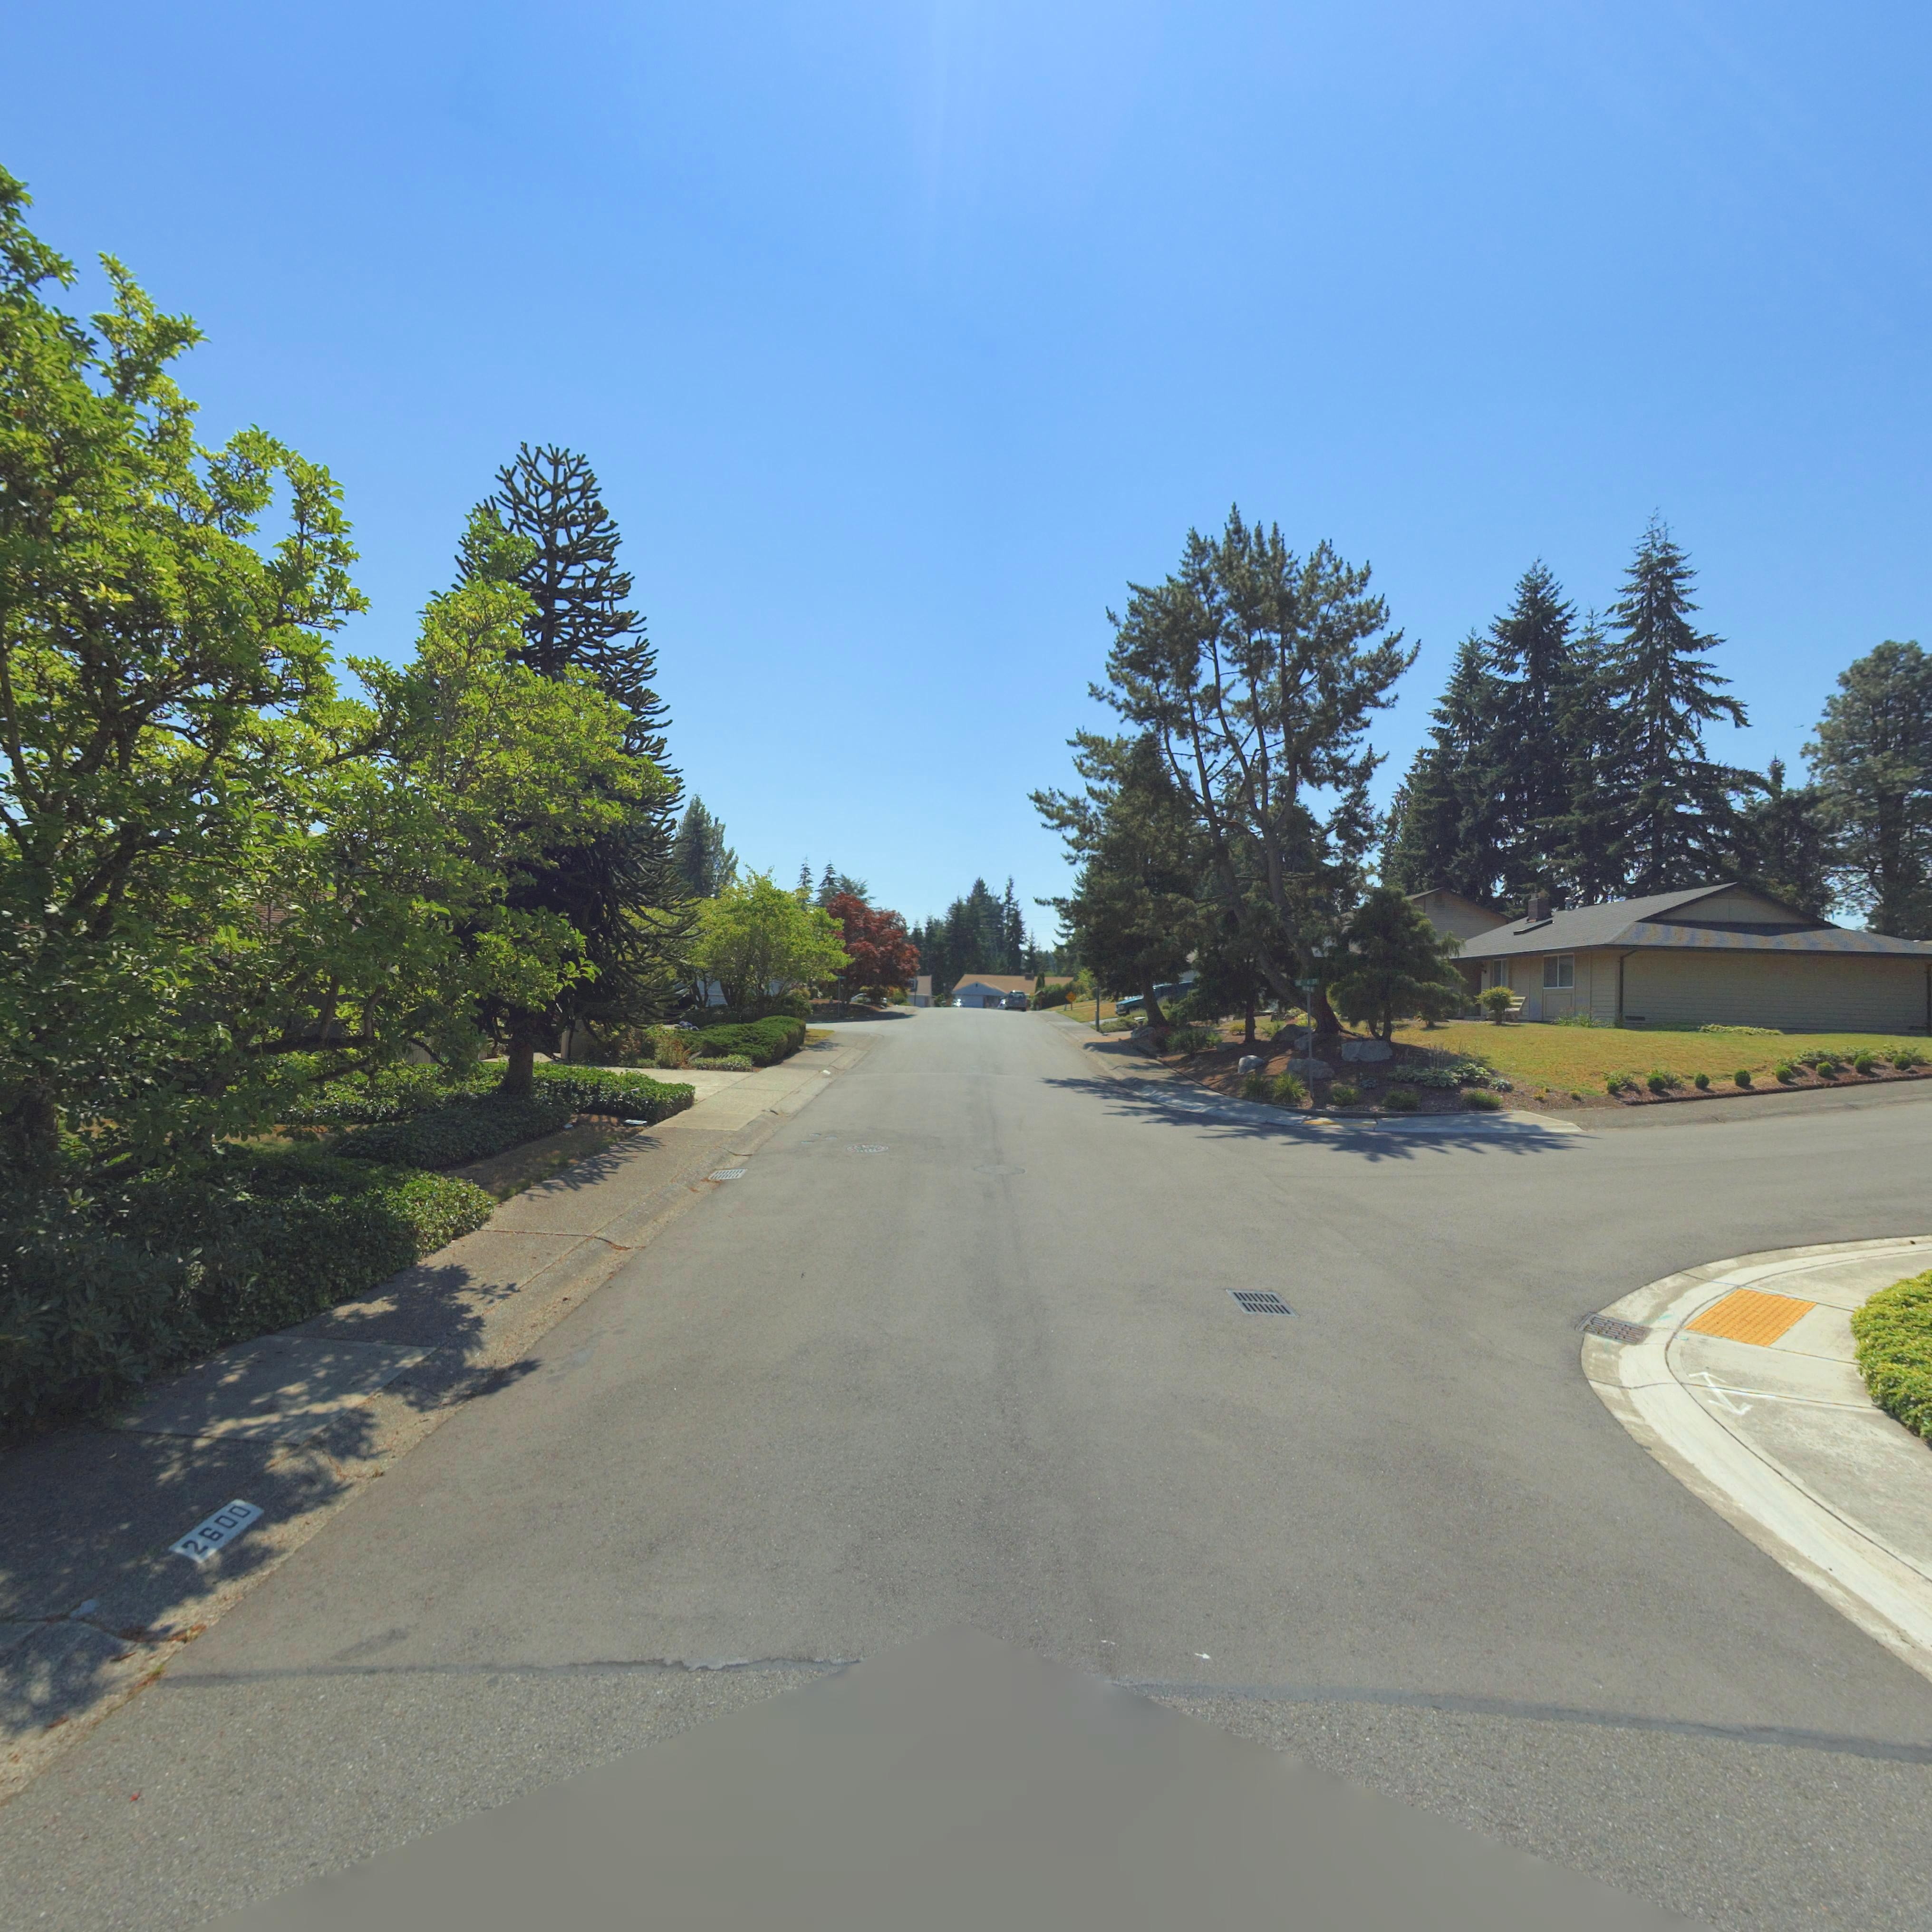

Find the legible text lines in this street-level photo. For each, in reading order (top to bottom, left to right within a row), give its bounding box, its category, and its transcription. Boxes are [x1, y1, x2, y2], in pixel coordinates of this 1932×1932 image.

[180, 1504, 252, 1555] StreetNumber: 2600